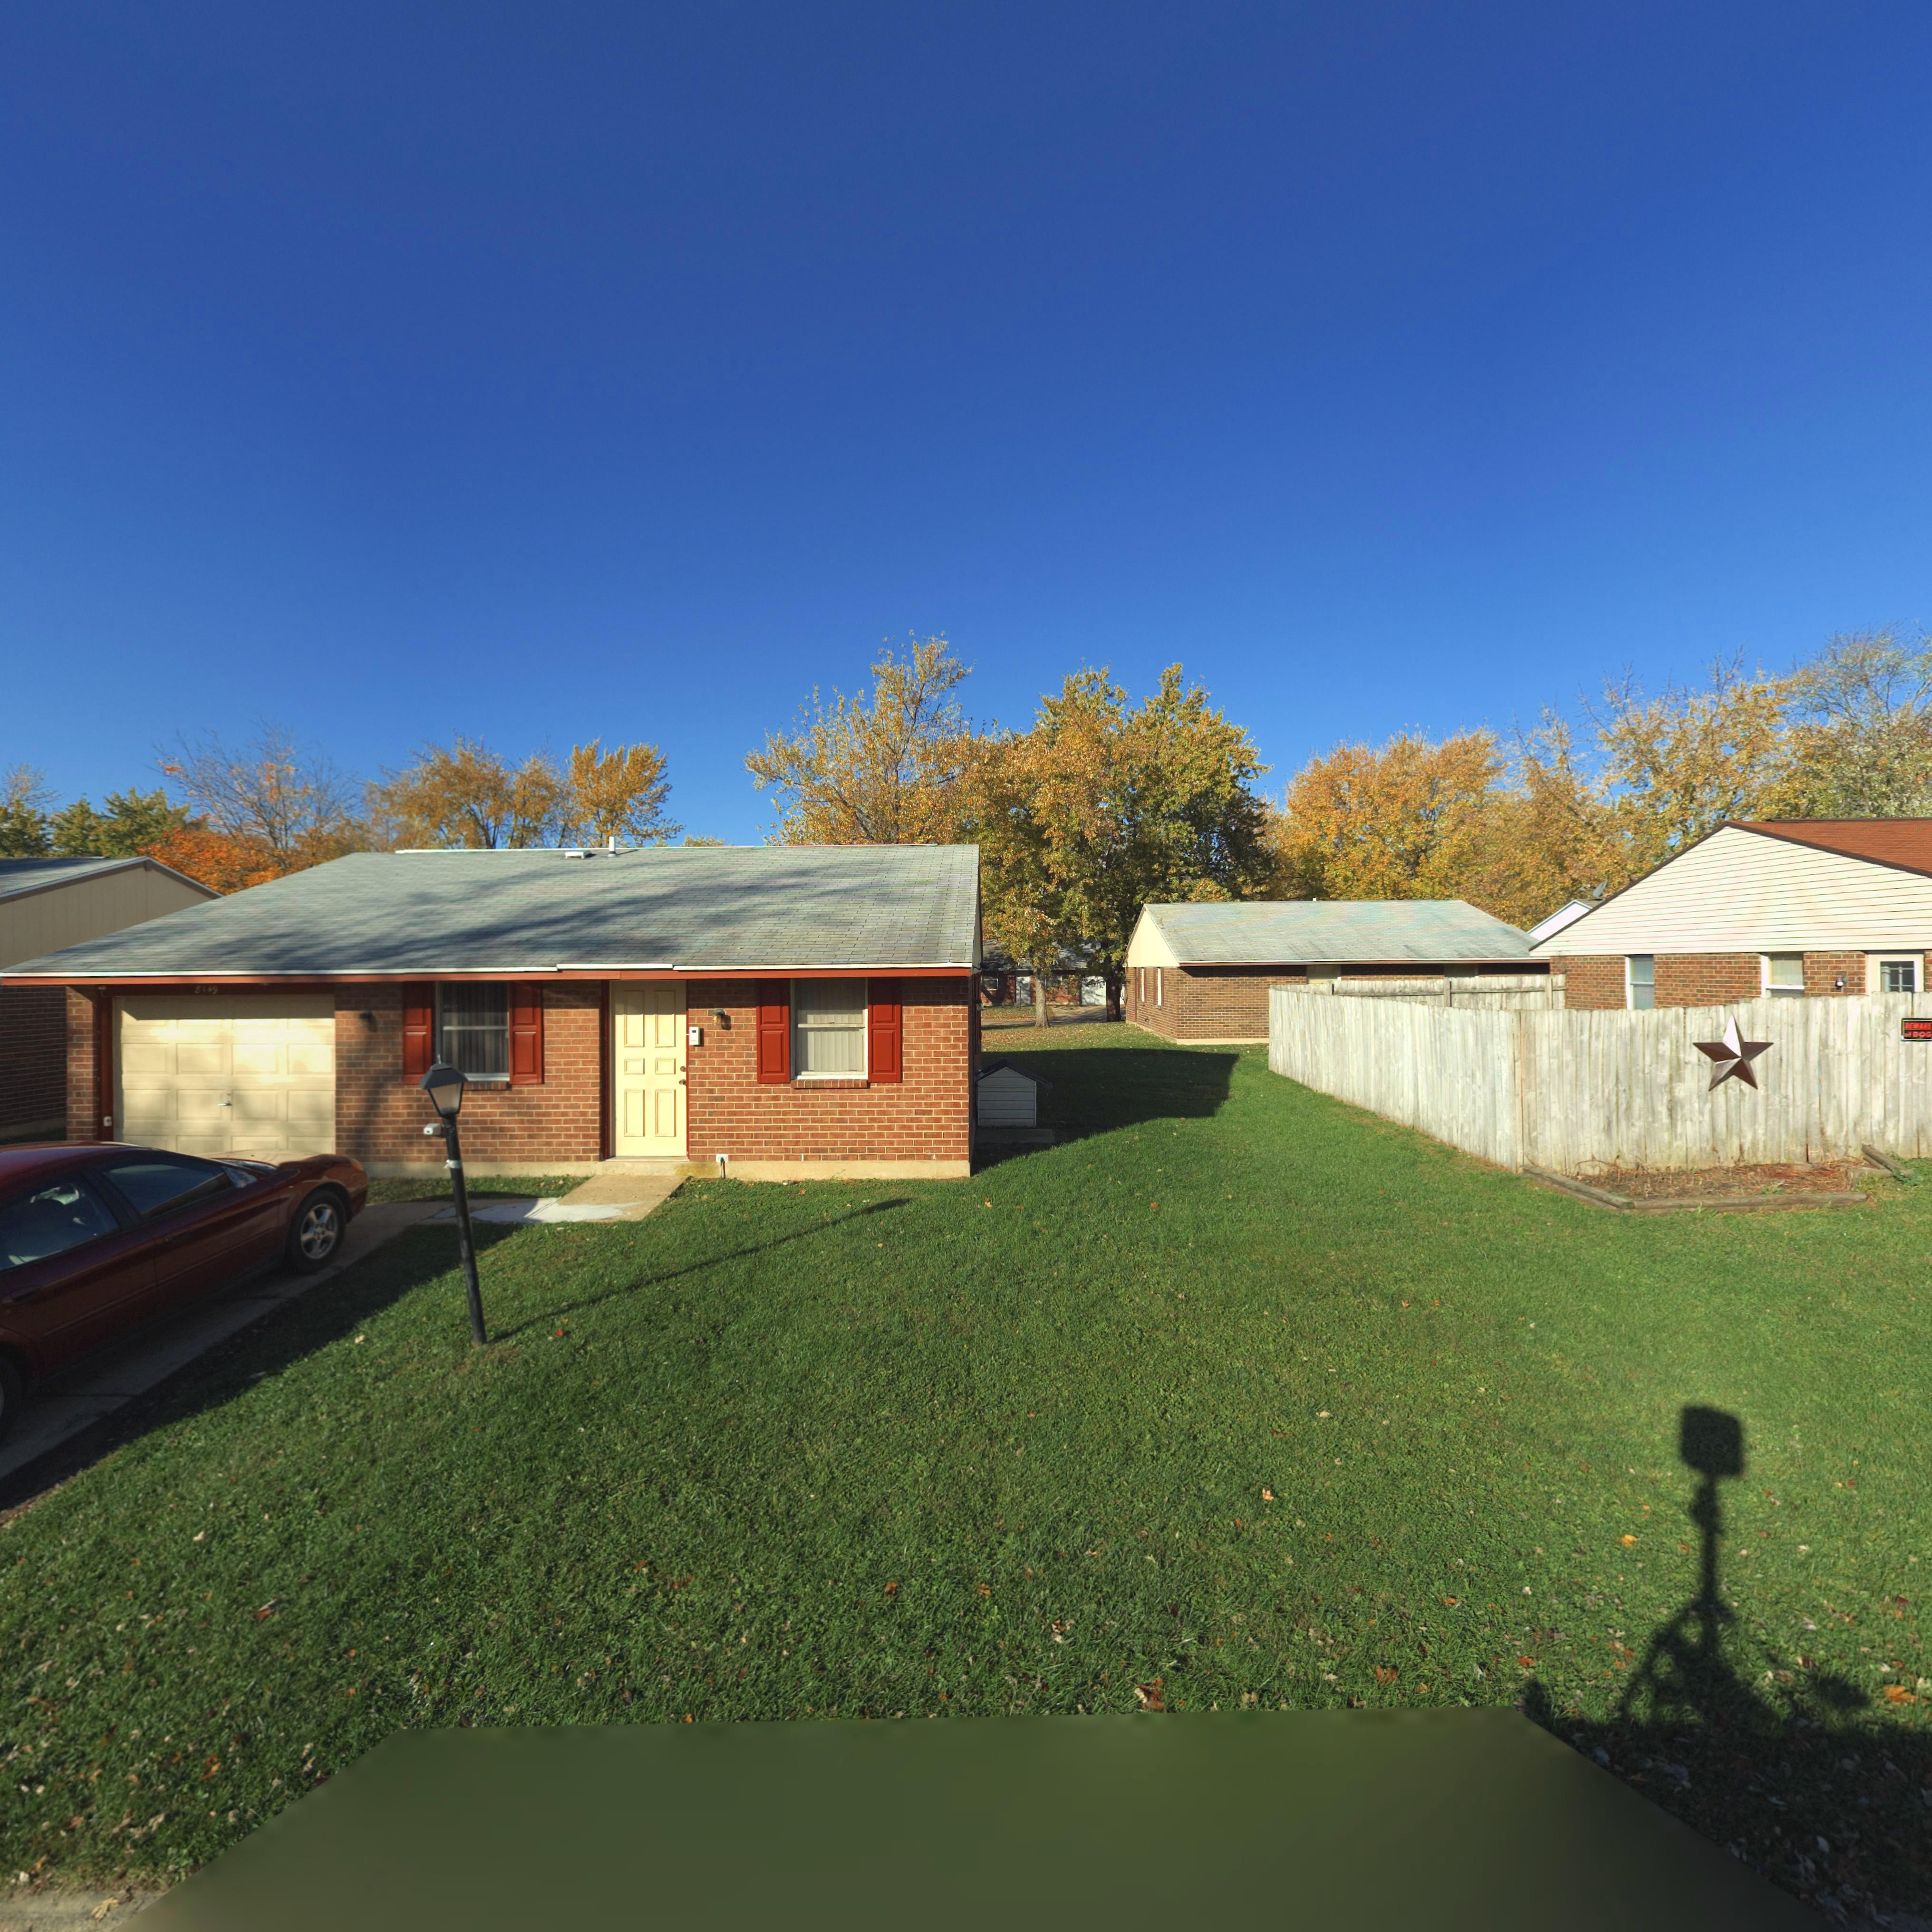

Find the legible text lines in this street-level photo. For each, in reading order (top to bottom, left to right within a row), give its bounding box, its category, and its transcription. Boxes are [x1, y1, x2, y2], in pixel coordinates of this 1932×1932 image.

[192, 984, 220, 996] StreetNumber: 81*9